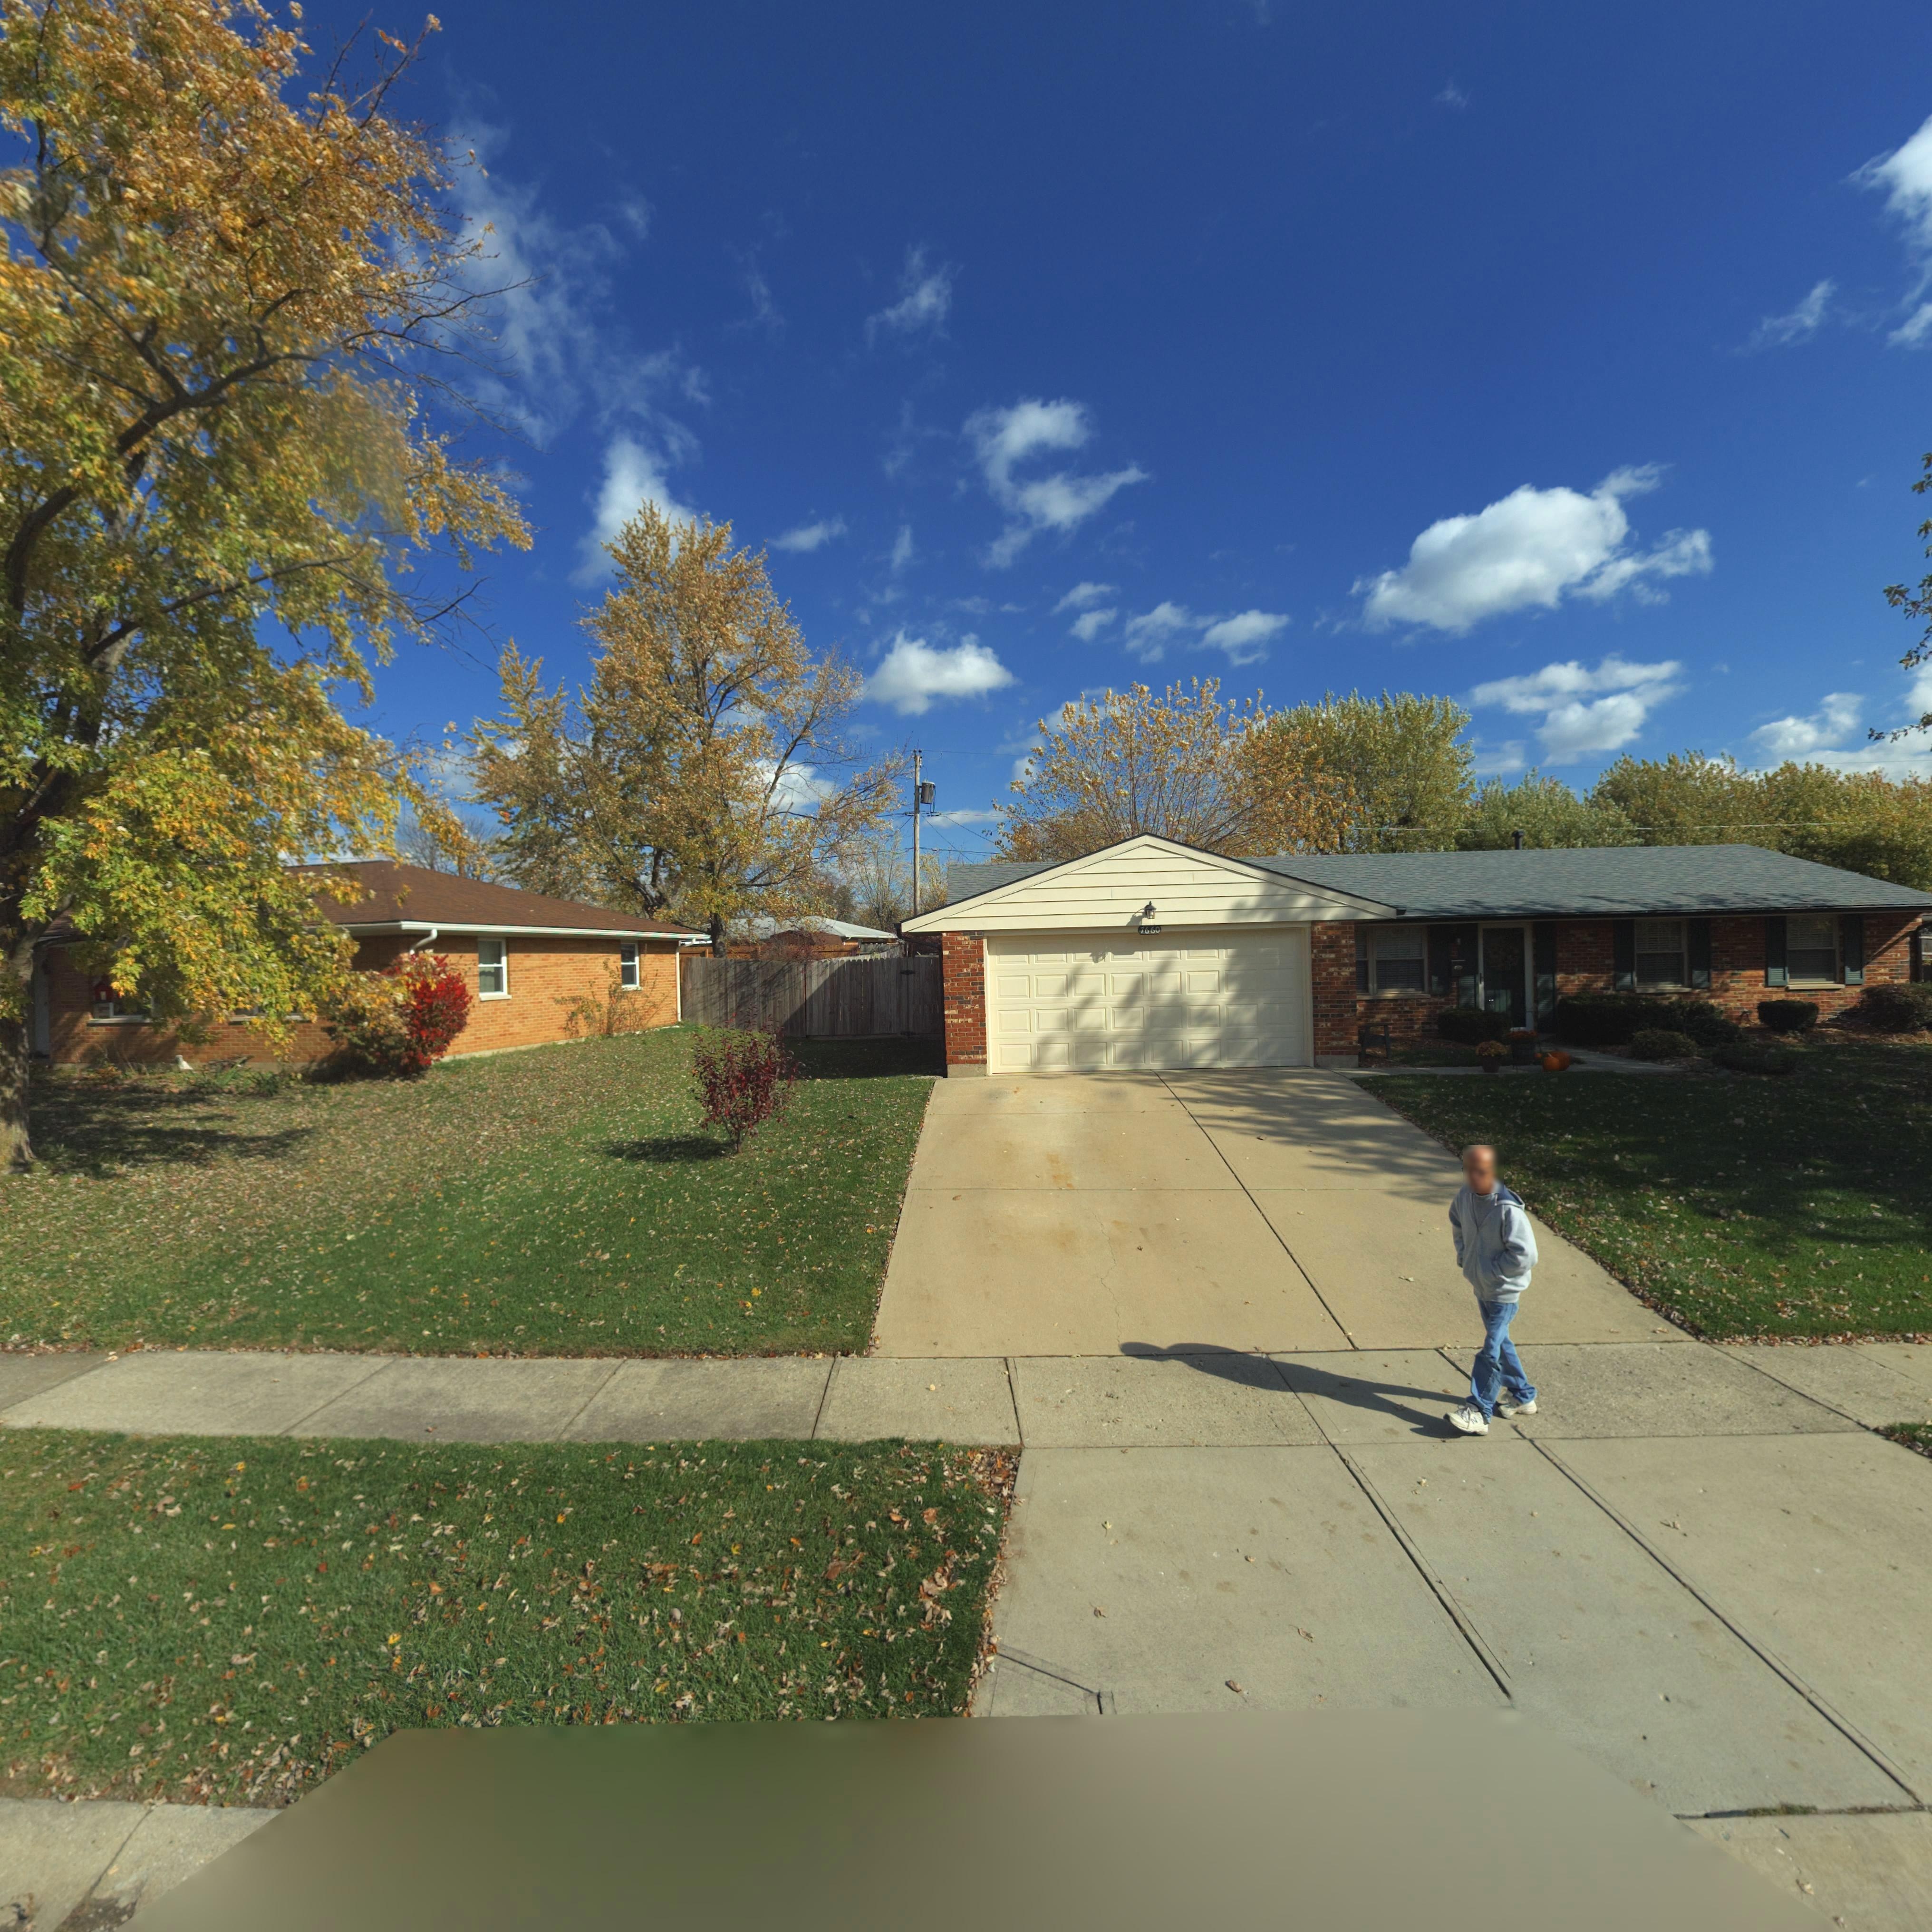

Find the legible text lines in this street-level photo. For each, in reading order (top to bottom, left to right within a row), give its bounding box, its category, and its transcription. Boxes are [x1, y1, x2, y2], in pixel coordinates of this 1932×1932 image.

[1140, 925, 1161, 935] StreetNumber: 7660